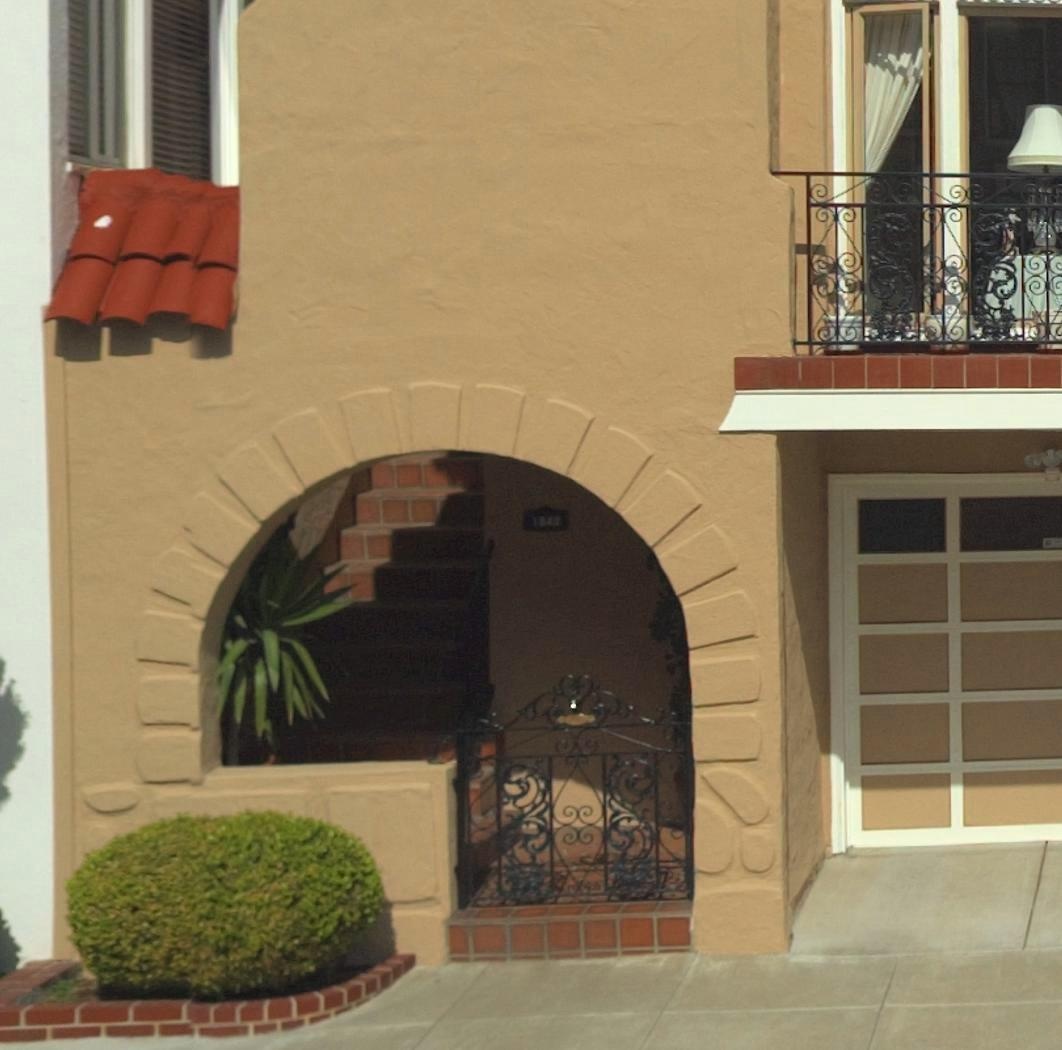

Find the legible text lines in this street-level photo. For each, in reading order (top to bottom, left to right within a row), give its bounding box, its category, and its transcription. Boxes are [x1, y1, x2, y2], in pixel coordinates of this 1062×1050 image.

[531, 513, 563, 530] StreetNumber: 1***